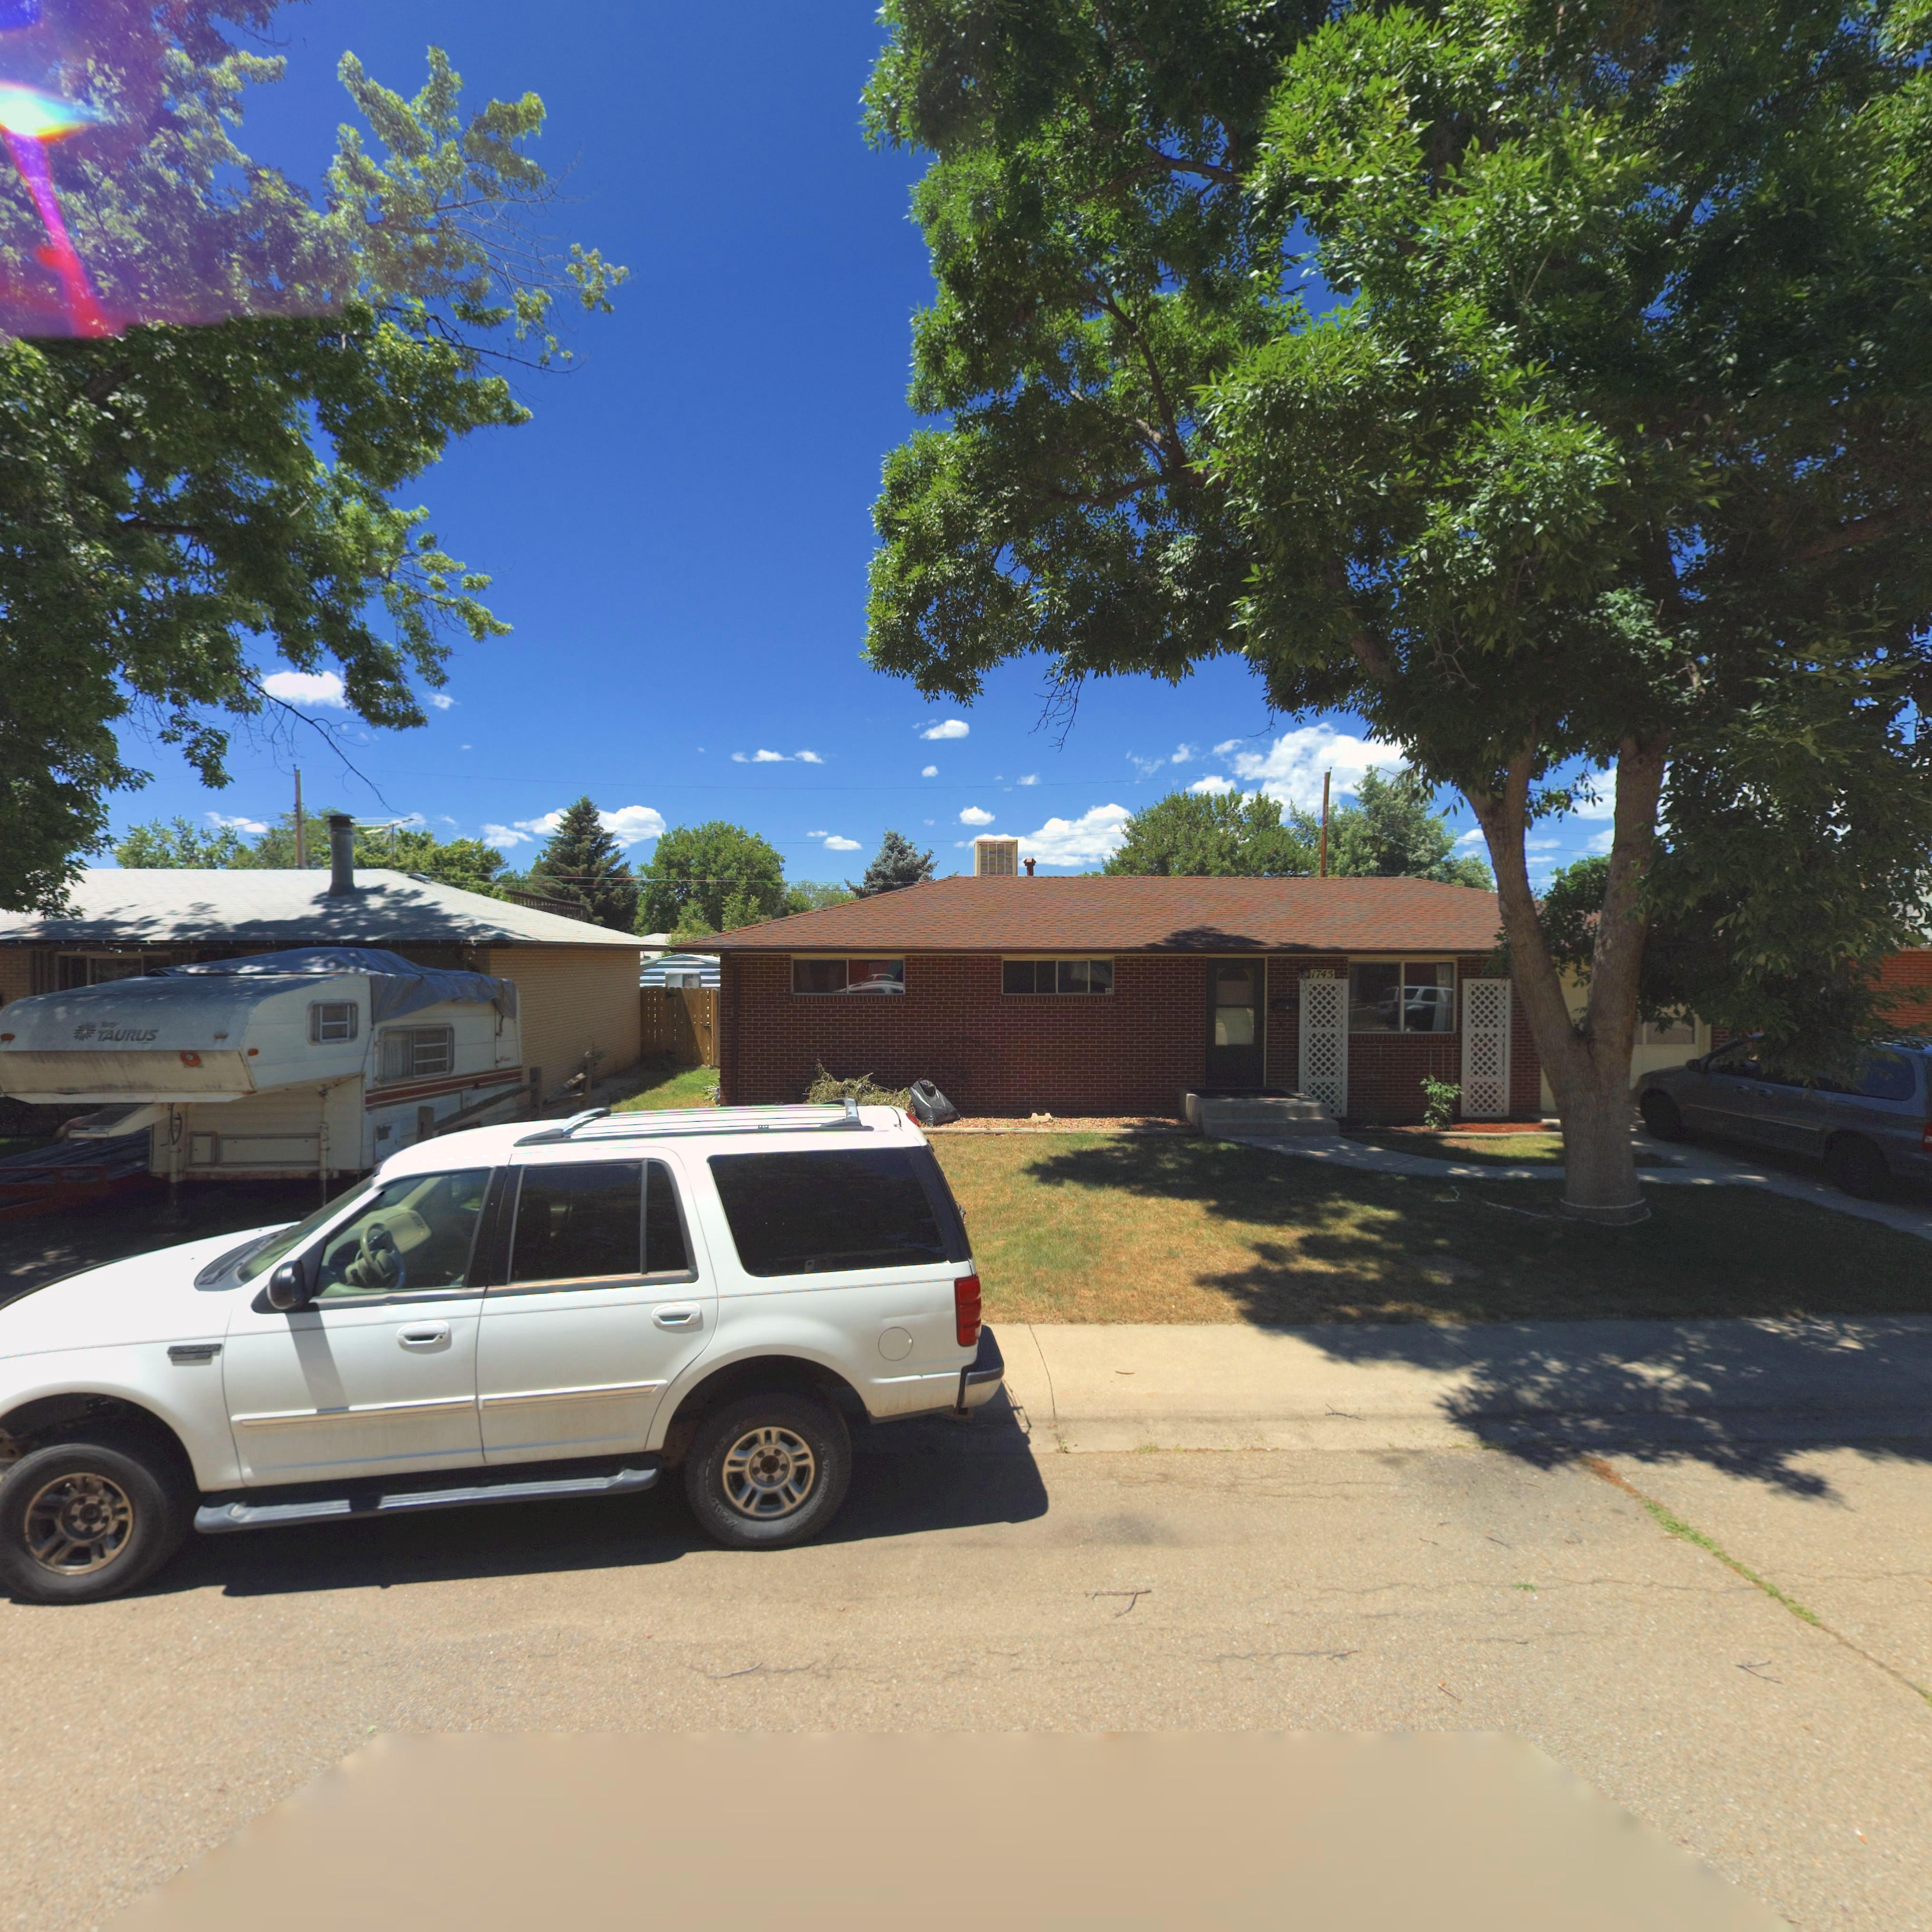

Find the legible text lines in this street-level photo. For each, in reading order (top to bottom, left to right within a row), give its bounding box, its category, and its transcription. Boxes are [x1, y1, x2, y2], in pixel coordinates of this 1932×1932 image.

[1311, 970, 1333, 978] StreetNumber: 1745